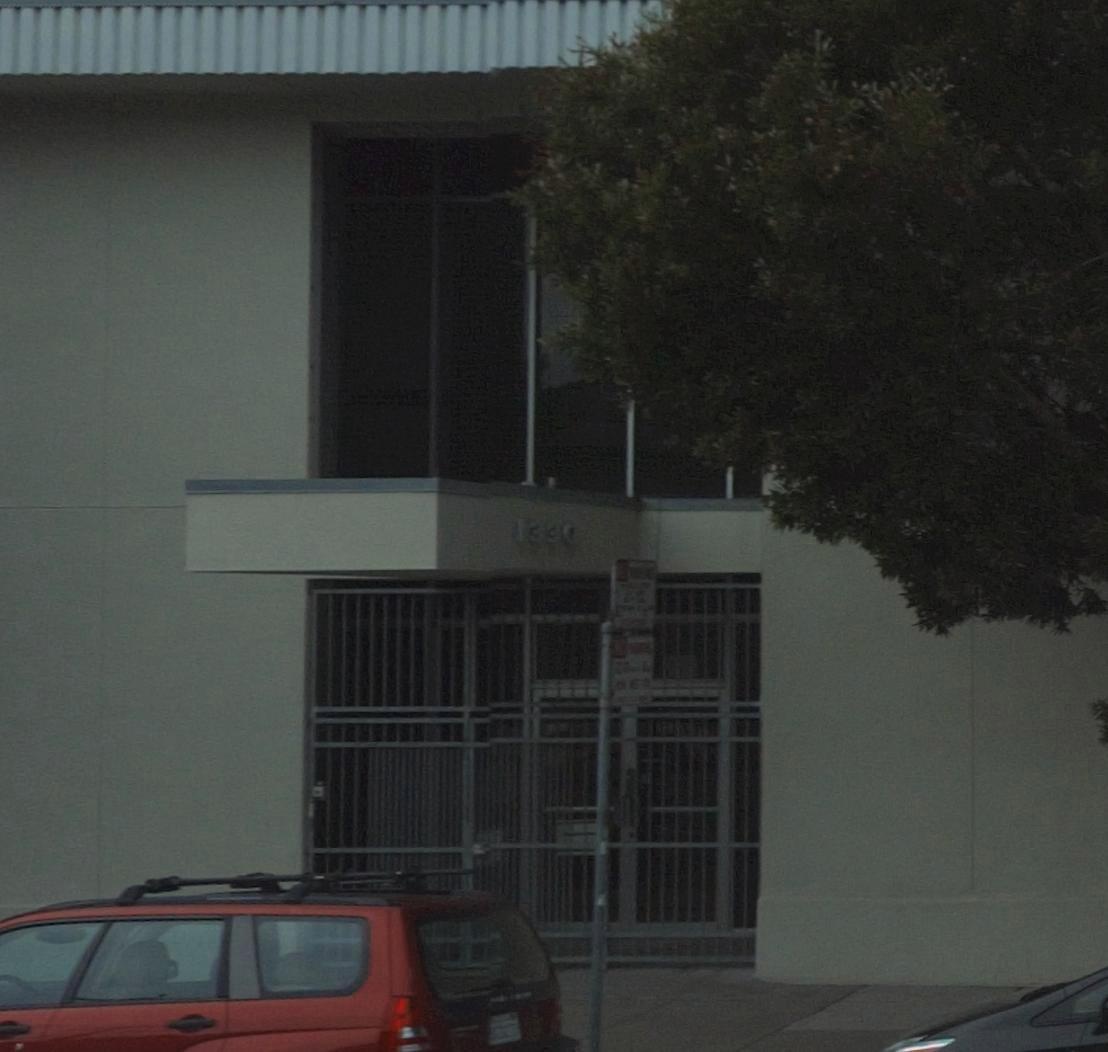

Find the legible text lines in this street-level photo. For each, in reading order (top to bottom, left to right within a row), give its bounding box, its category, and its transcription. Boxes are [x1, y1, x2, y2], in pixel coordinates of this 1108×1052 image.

[513, 516, 579, 545] StreetNumber: 1330